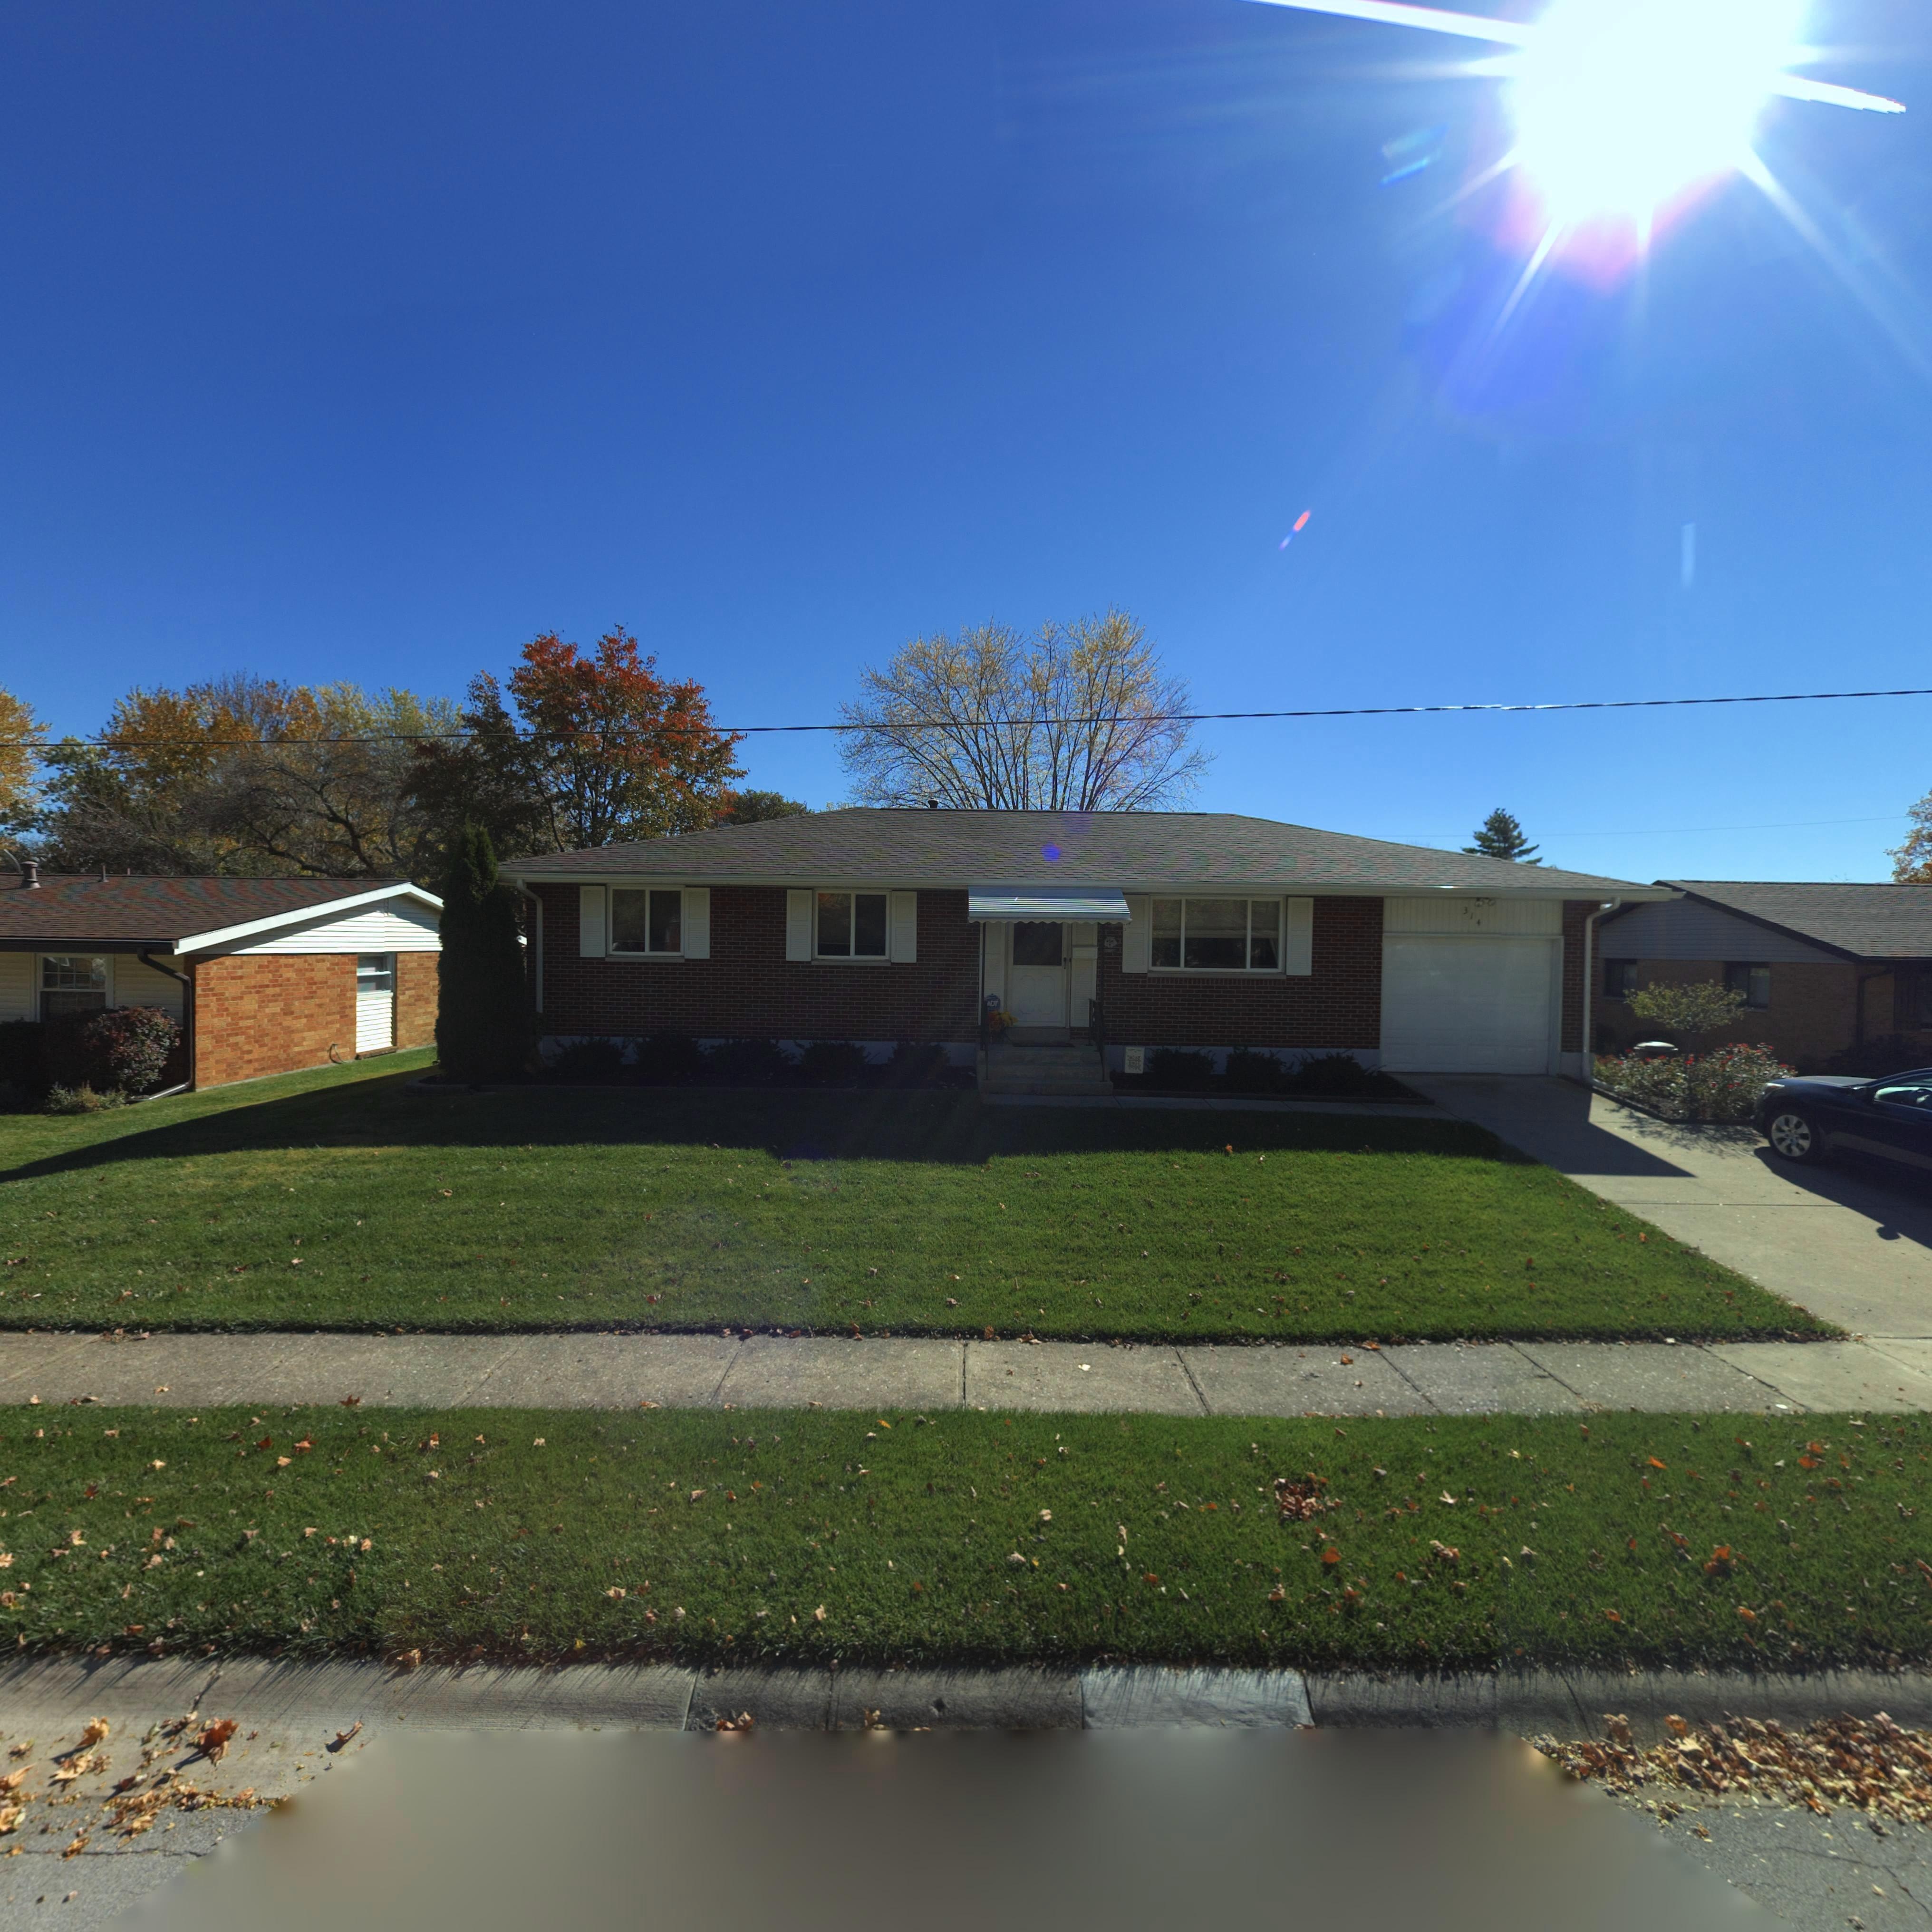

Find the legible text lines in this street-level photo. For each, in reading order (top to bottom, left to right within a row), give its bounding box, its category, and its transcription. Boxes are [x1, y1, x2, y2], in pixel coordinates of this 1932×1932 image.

[1462, 906, 1482, 928] StreetNumber: 314